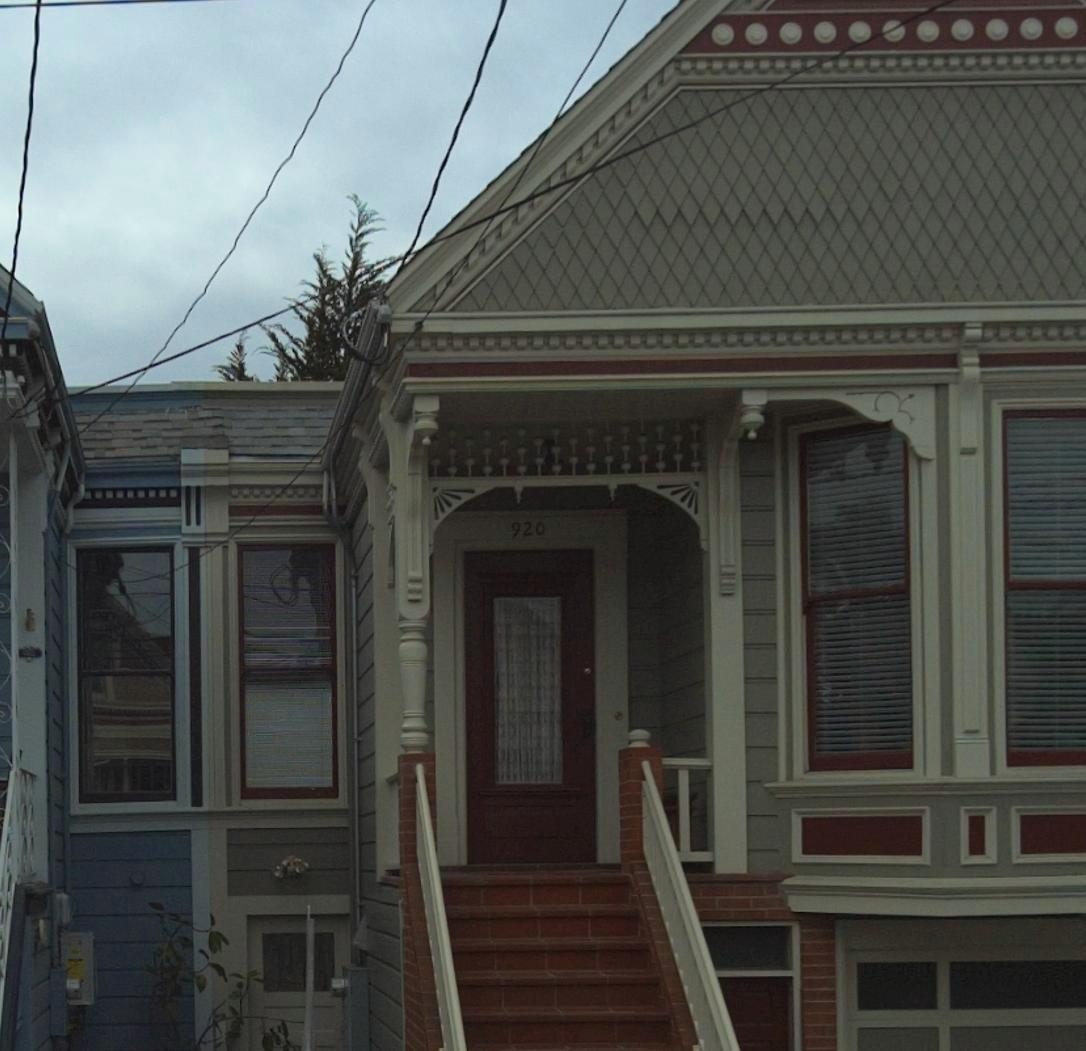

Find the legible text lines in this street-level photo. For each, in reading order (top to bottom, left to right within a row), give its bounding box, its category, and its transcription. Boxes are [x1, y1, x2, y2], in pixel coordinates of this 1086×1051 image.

[509, 519, 547, 540] StreetNumber: 920